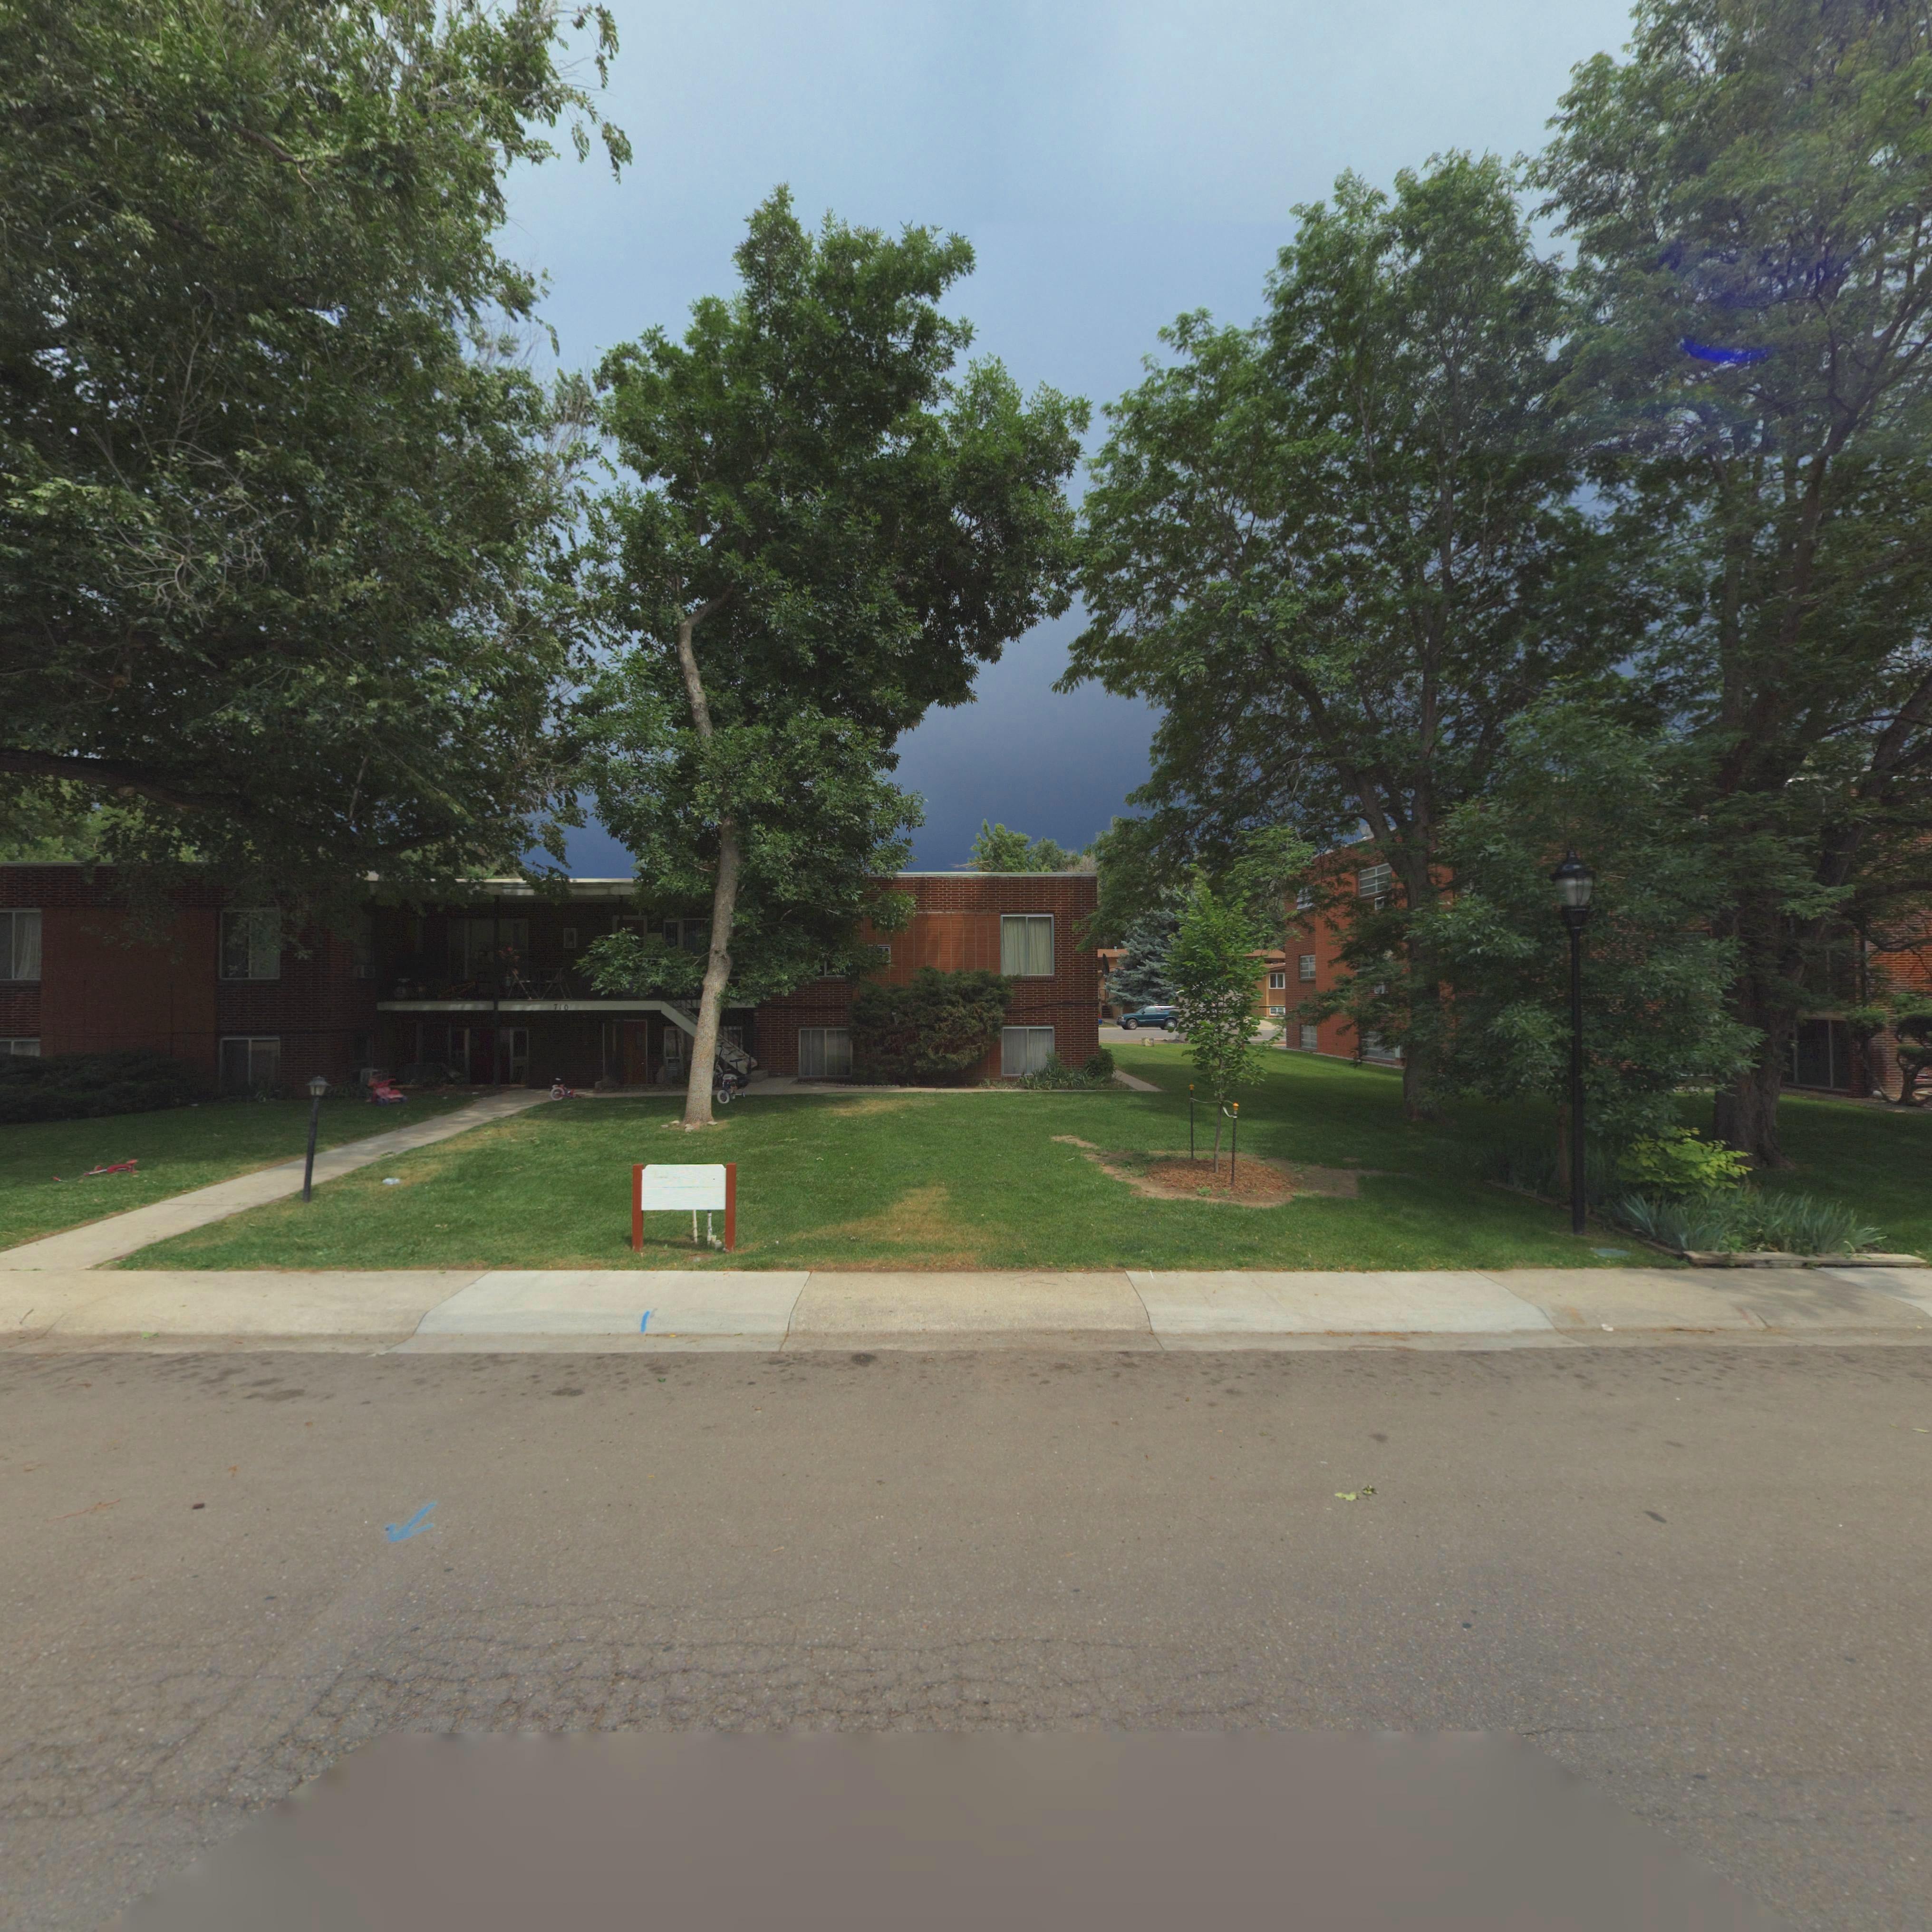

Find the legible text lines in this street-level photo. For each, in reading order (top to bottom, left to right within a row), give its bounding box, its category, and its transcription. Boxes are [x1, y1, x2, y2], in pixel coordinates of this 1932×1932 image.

[553, 1003, 569, 1010] StreetNumber: 710